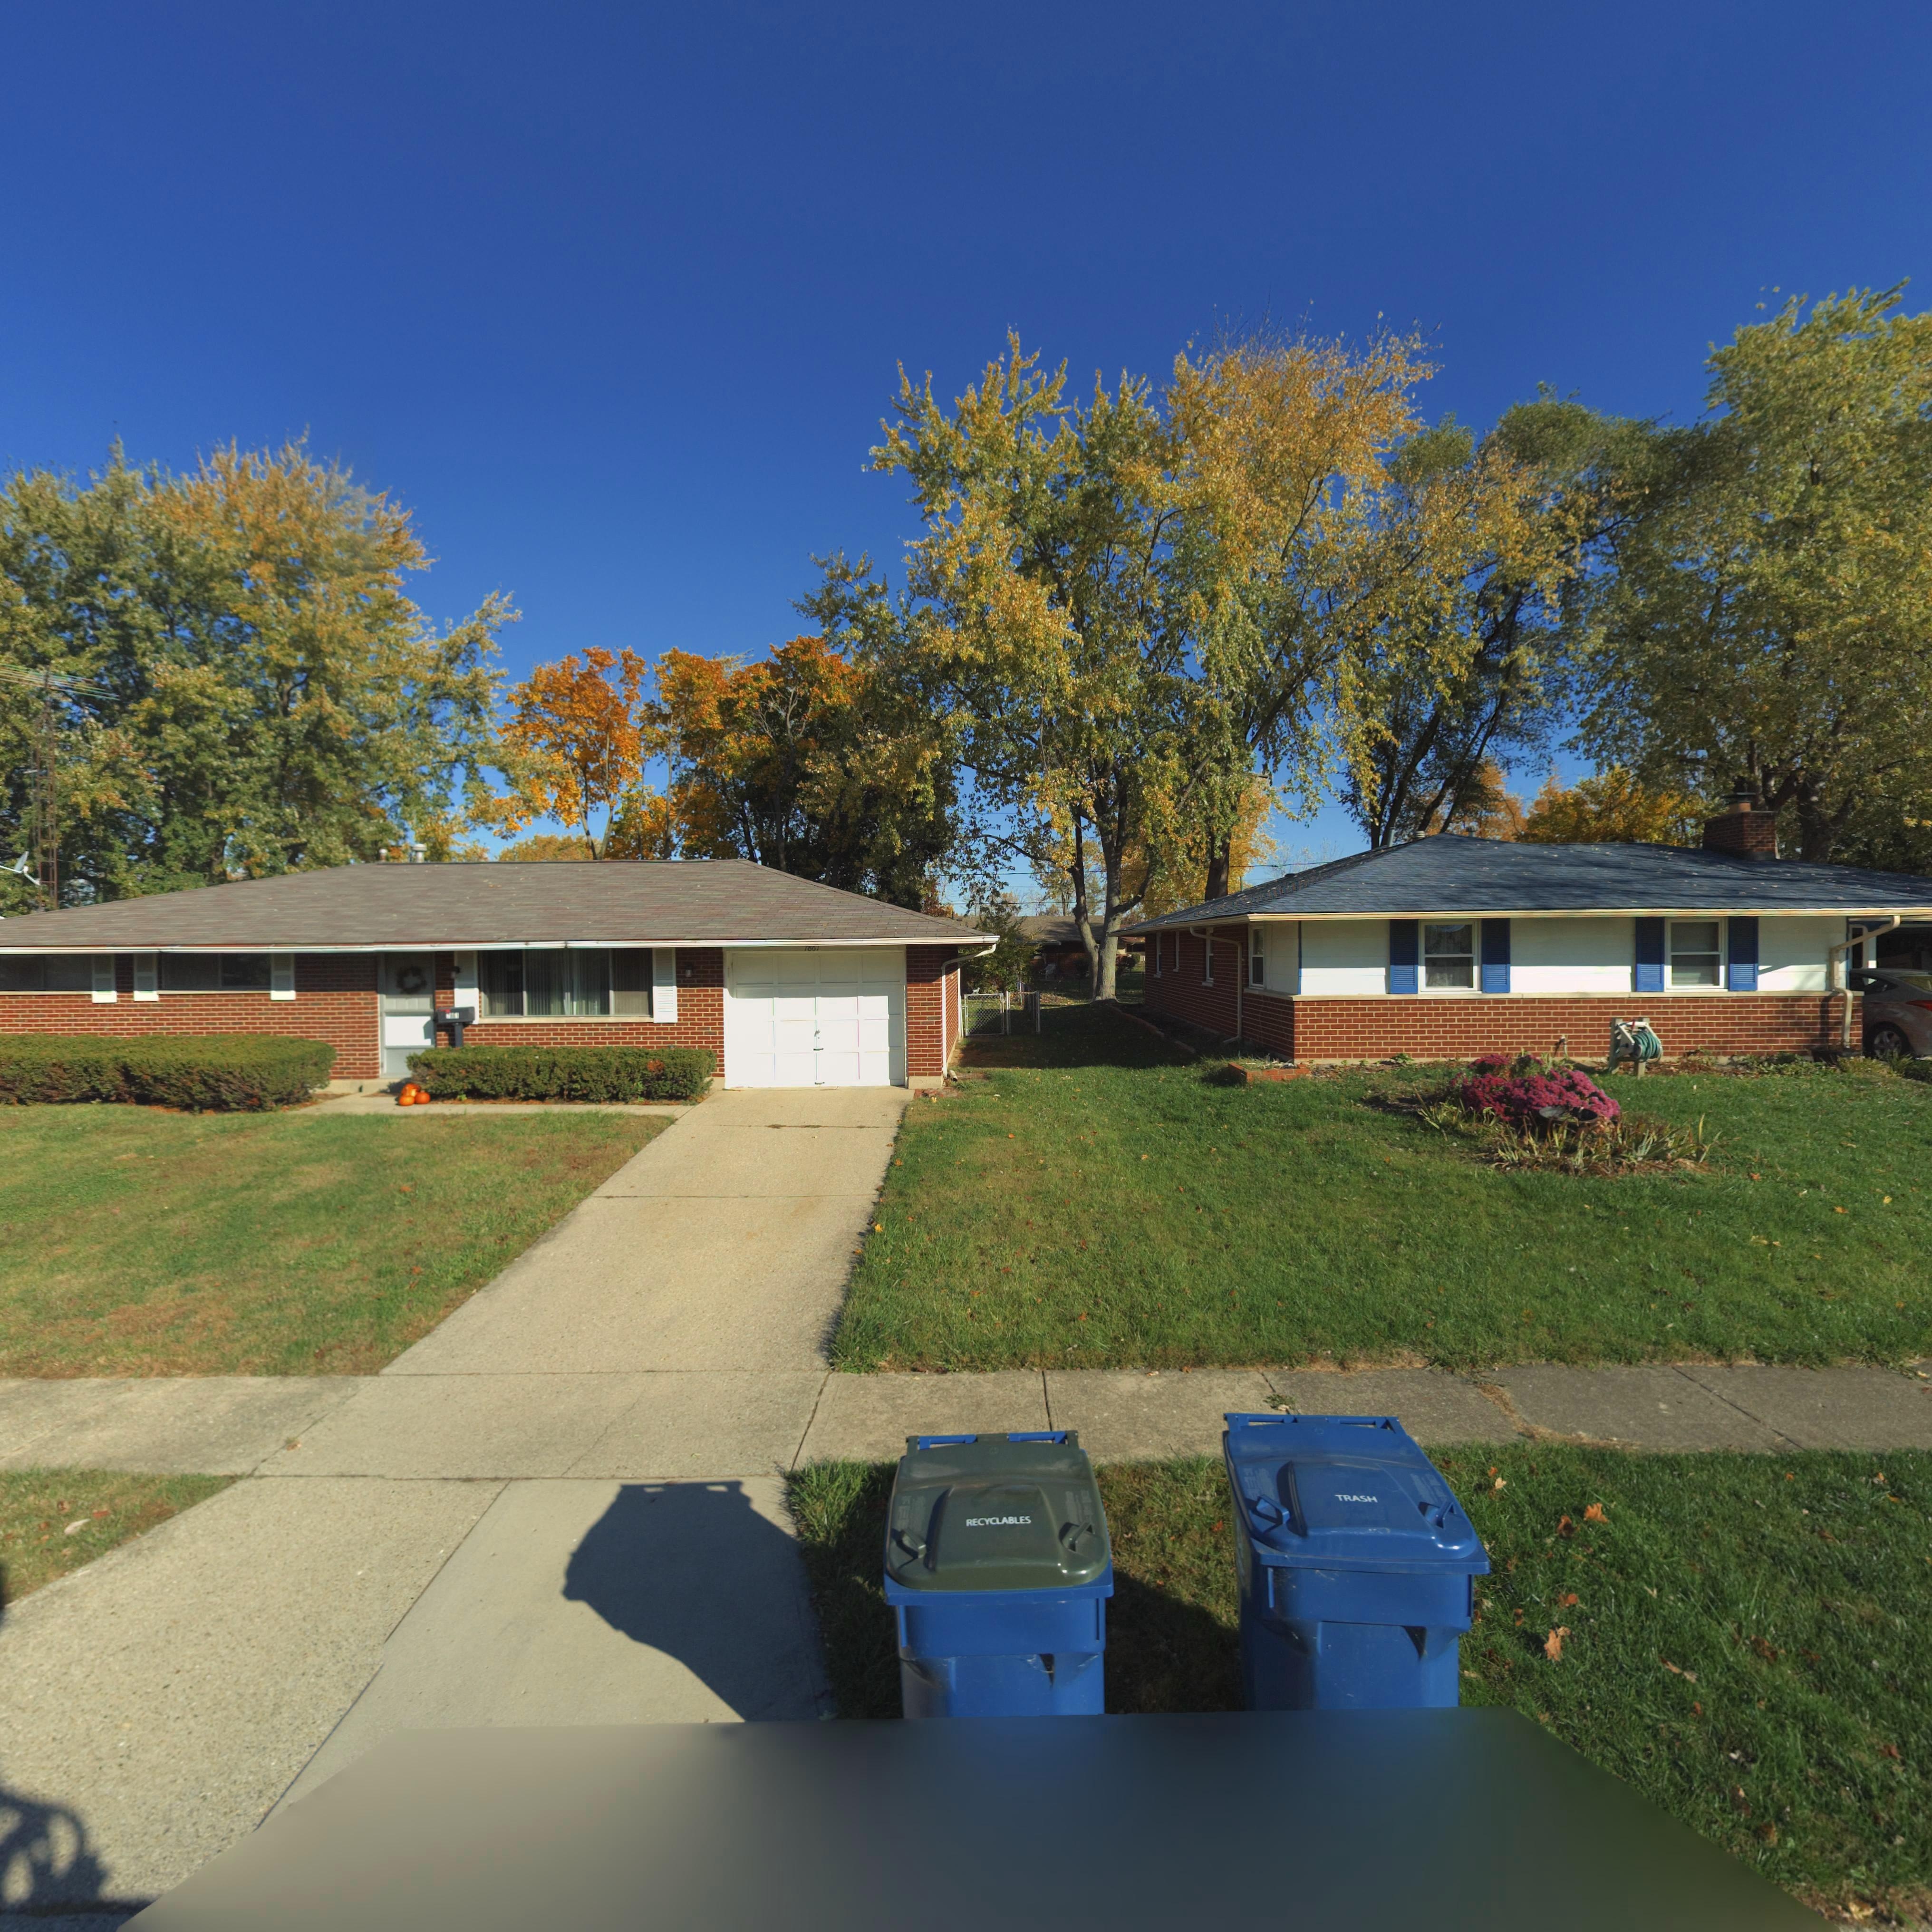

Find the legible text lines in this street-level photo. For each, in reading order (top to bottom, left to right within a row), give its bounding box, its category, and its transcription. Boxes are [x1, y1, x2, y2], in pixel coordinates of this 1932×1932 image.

[803, 946, 820, 951] StreetNumber: *8*1
[446, 1012, 459, 1019] StreetNumber: 78*1